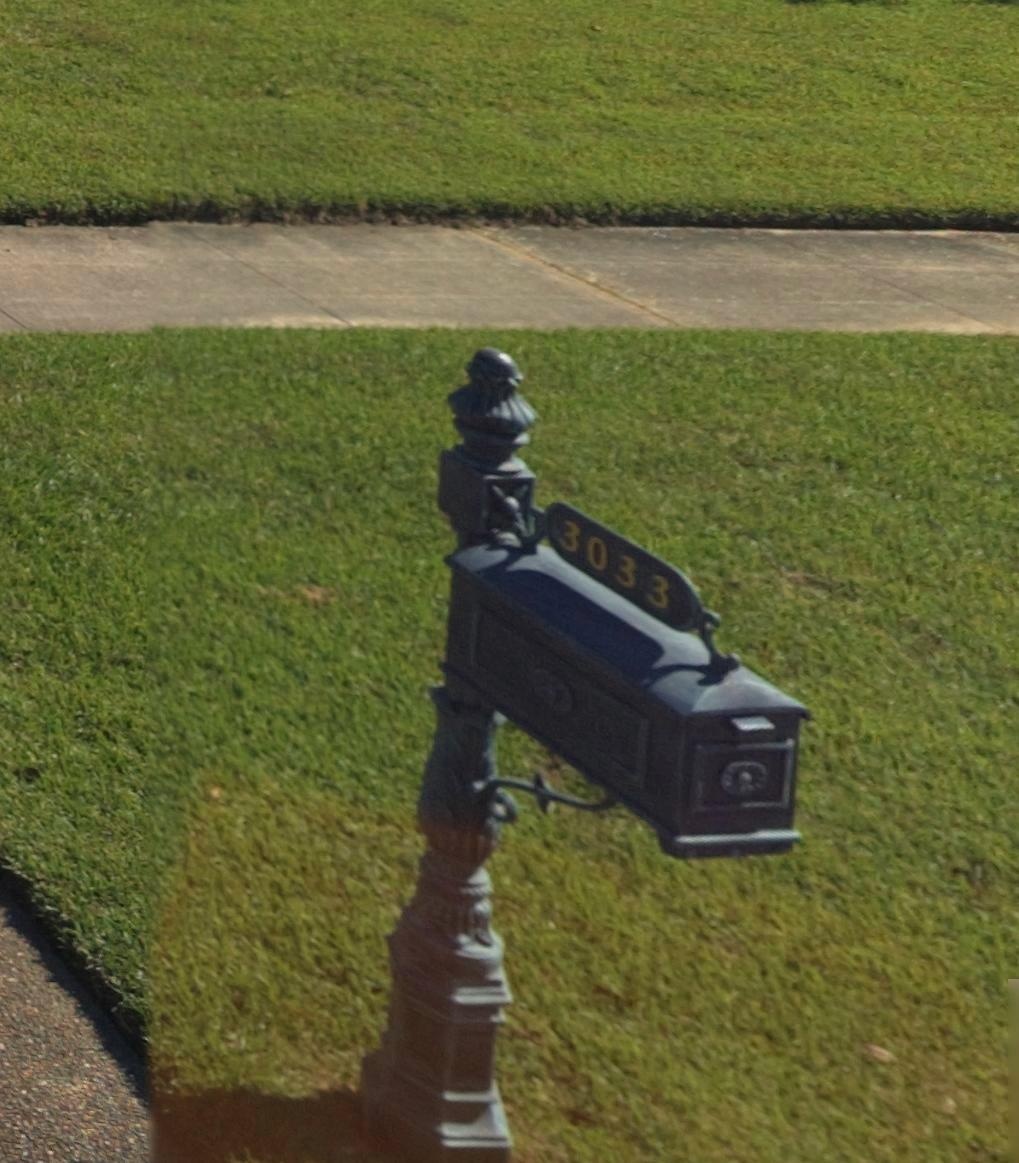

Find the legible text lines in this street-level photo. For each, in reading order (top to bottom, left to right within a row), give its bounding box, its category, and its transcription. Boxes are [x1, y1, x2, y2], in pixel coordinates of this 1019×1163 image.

[553, 512, 675, 618] StreetNumber: 3033